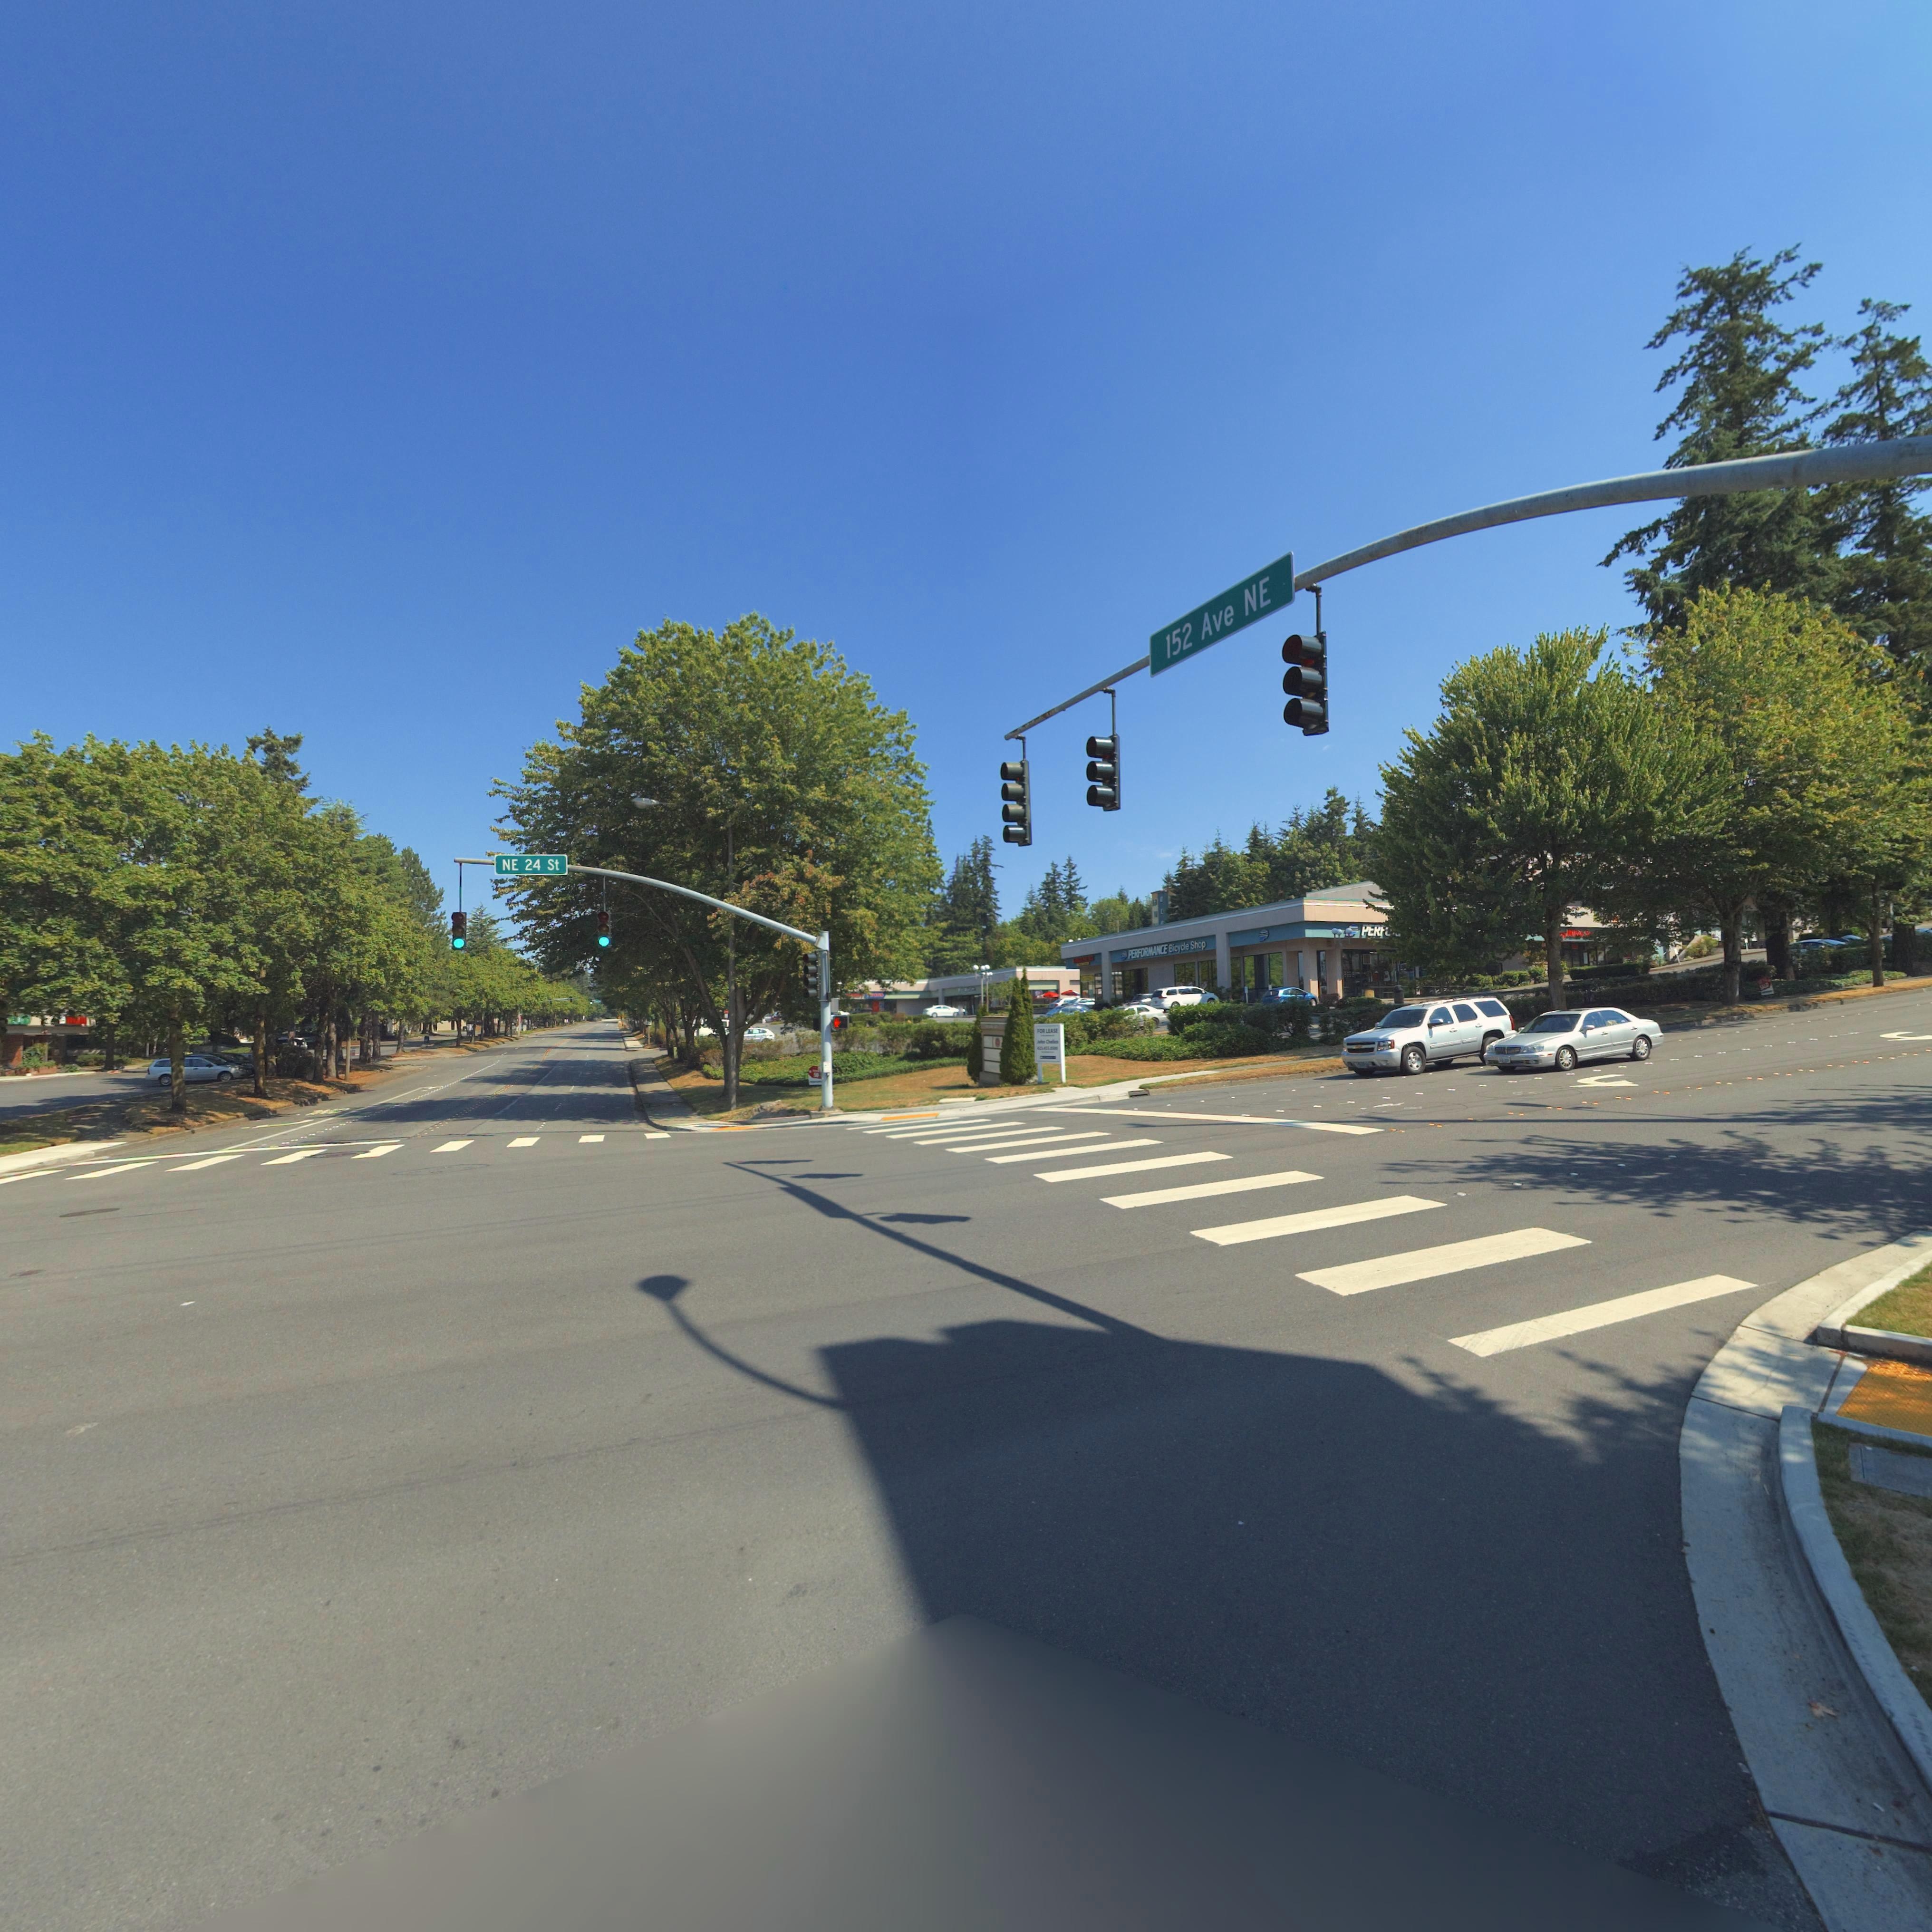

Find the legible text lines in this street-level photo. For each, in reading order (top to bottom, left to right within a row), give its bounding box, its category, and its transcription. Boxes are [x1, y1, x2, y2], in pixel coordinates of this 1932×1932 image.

[1163, 574, 1273, 661] StreetName: 152 Ave NE
[503, 859, 559, 870] StreetName: NE 24 St
[1361, 924, 1390, 937] BusinessName: PERF*
[1128, 939, 1207, 959] BusinessName: PERFORMANCE Bicycle Shop